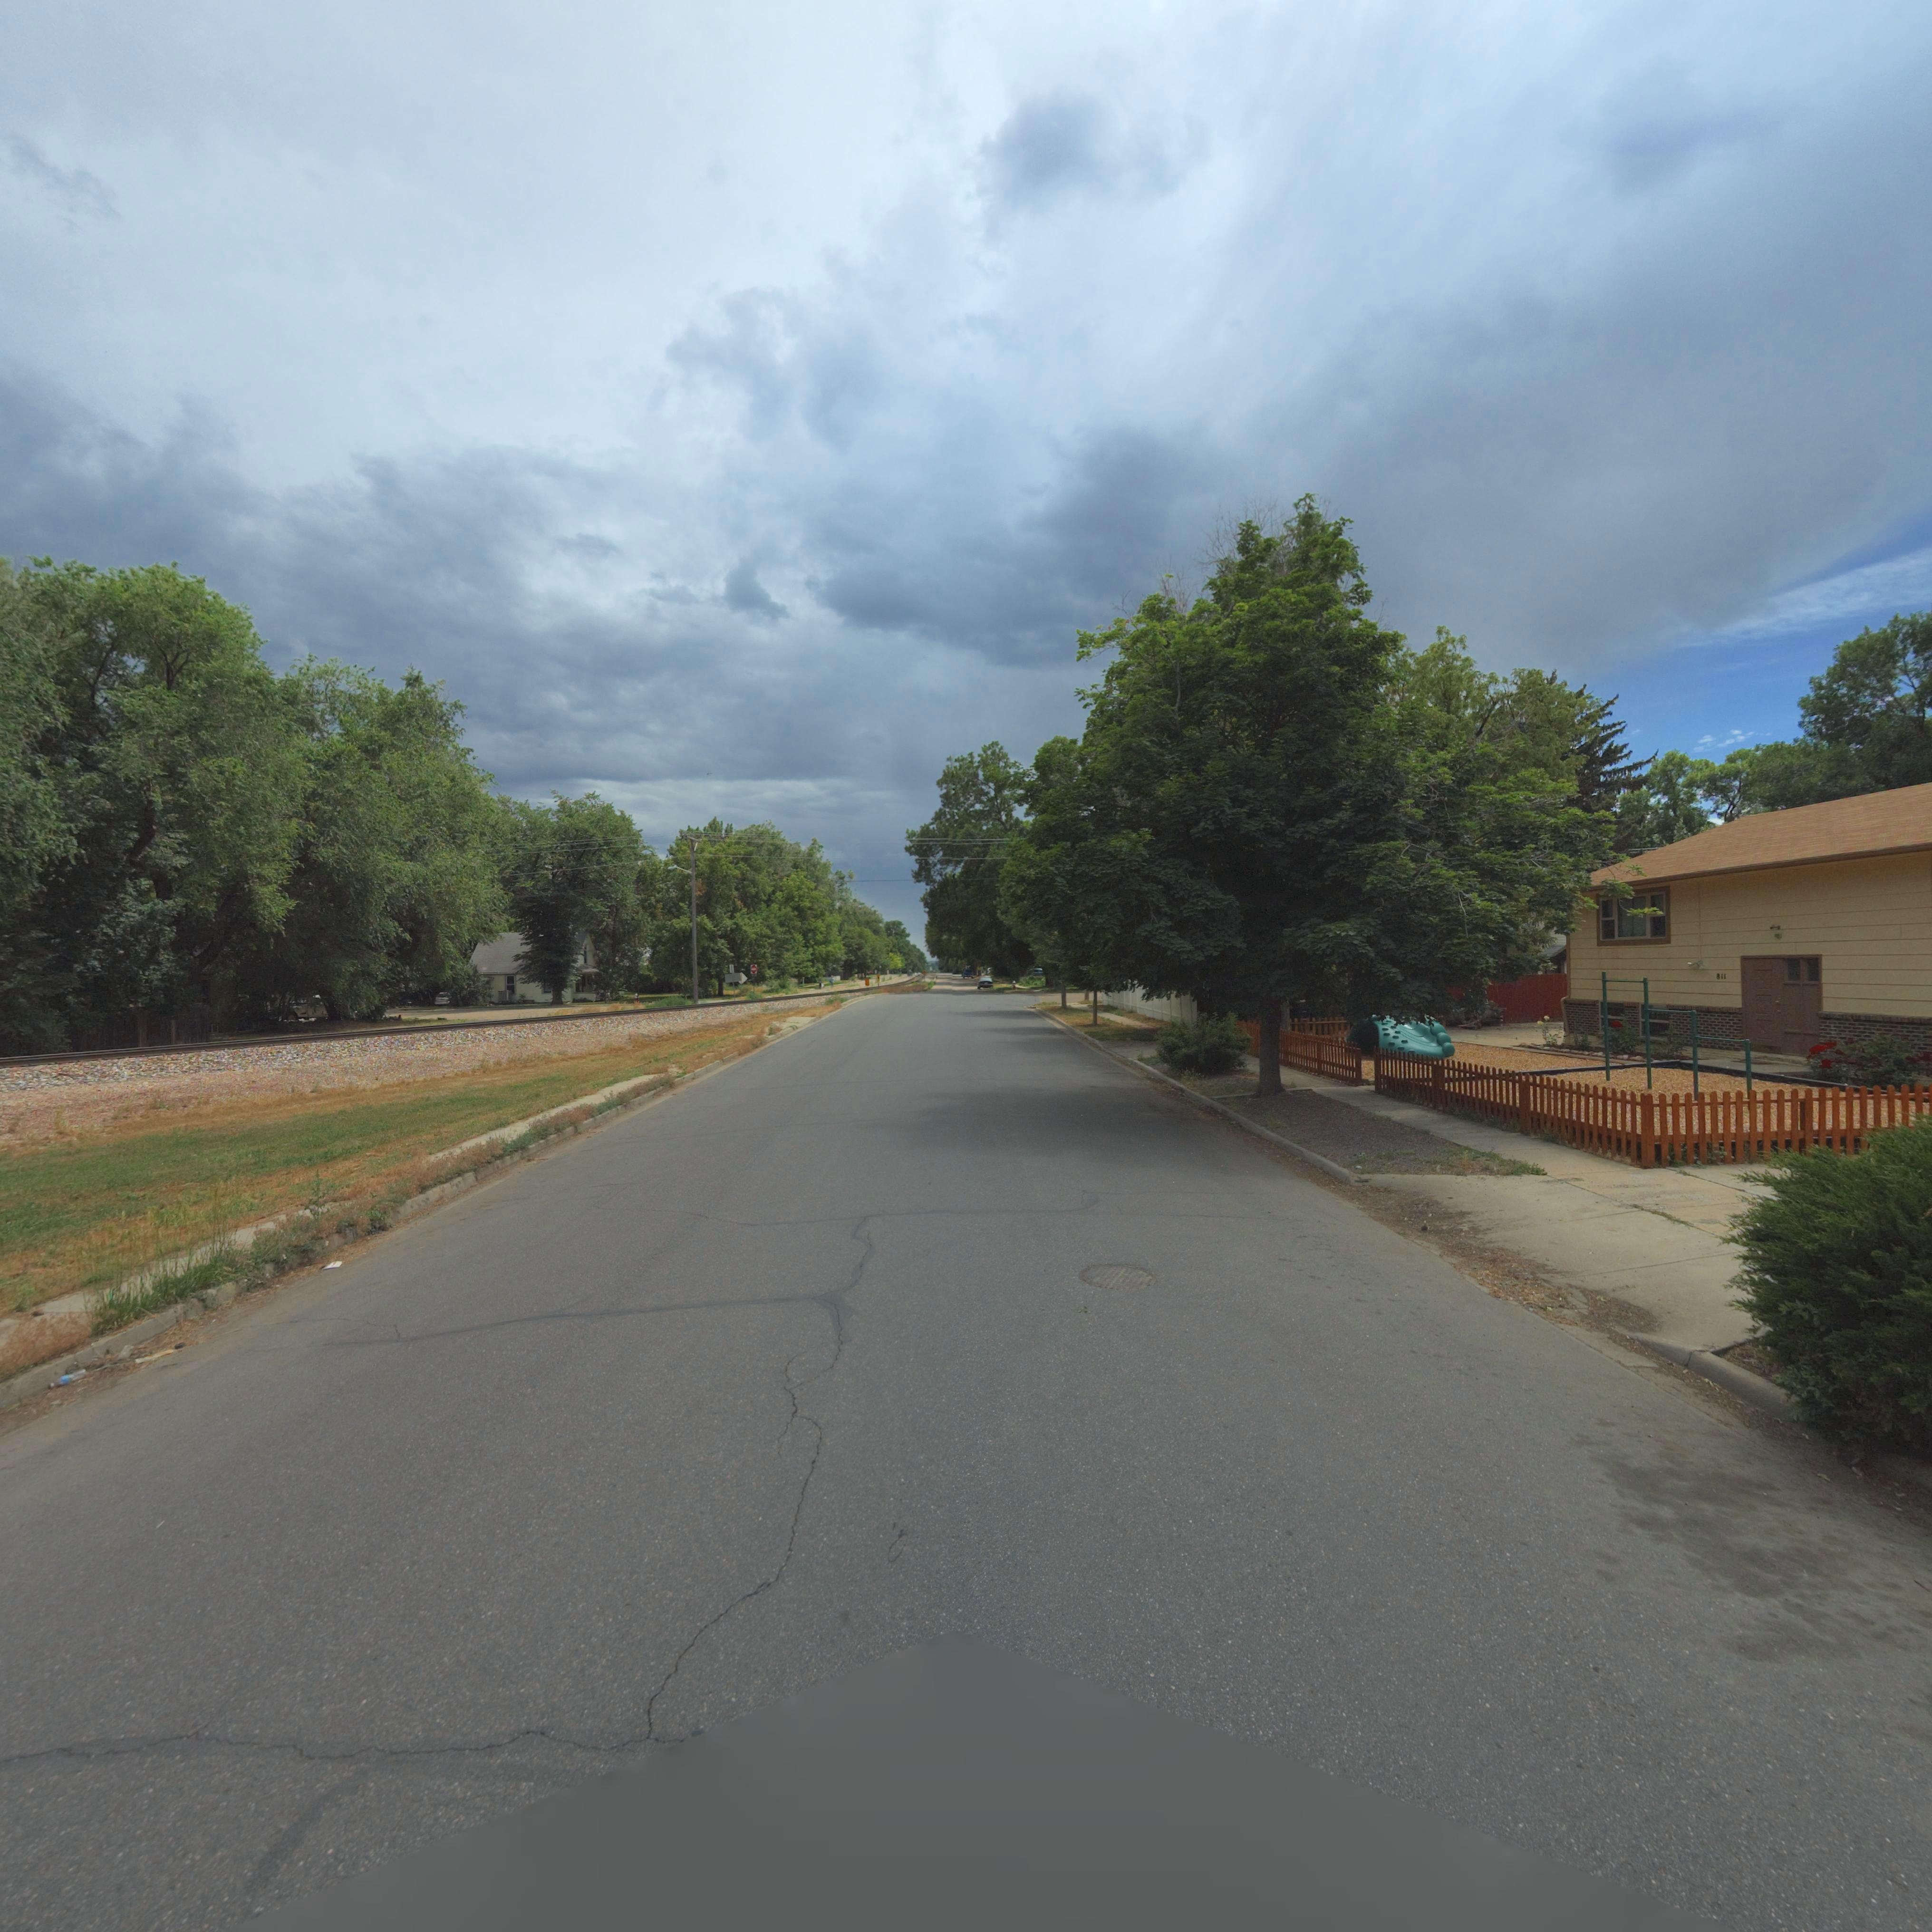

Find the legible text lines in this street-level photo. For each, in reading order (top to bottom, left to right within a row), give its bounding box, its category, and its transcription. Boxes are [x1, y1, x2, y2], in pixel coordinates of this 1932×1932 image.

[1716, 973, 1726, 980] StreetNumber: 811